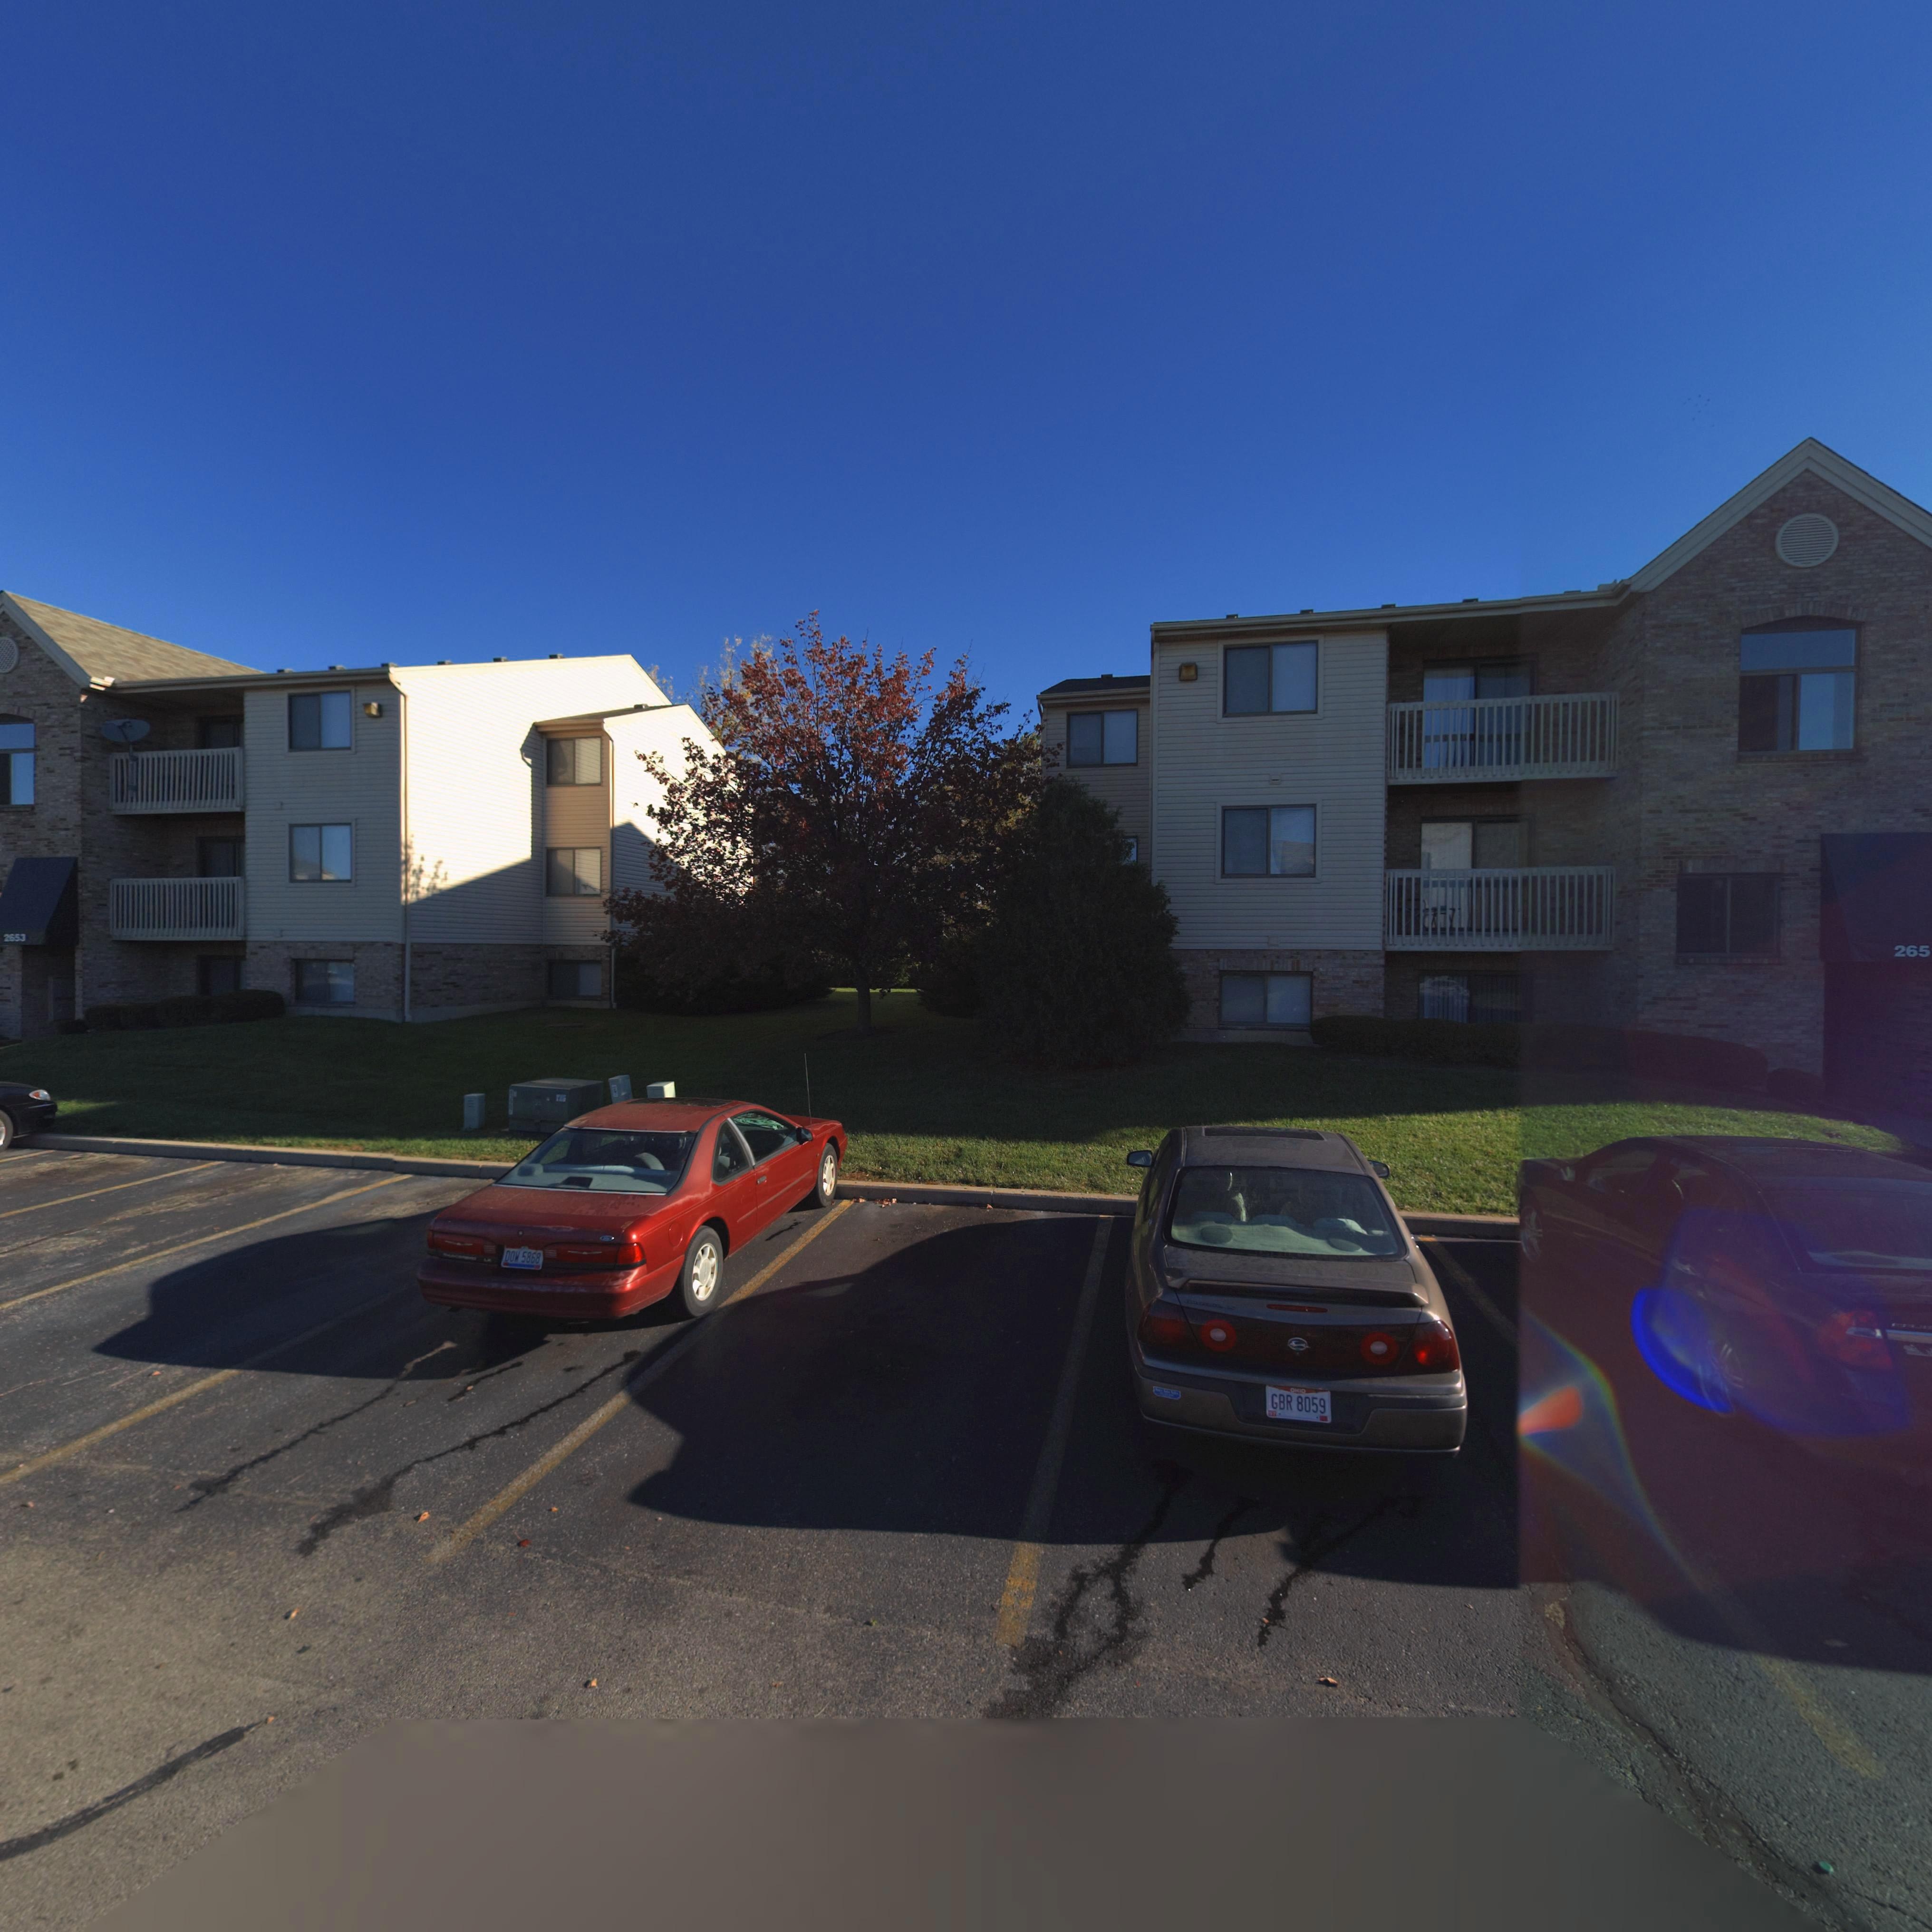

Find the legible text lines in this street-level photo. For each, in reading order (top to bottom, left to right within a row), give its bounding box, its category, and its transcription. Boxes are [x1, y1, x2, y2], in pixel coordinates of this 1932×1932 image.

[2, 932, 27, 943] StreetNumber: 2653
[1893, 944, 1932, 958] StreetNumber: 265